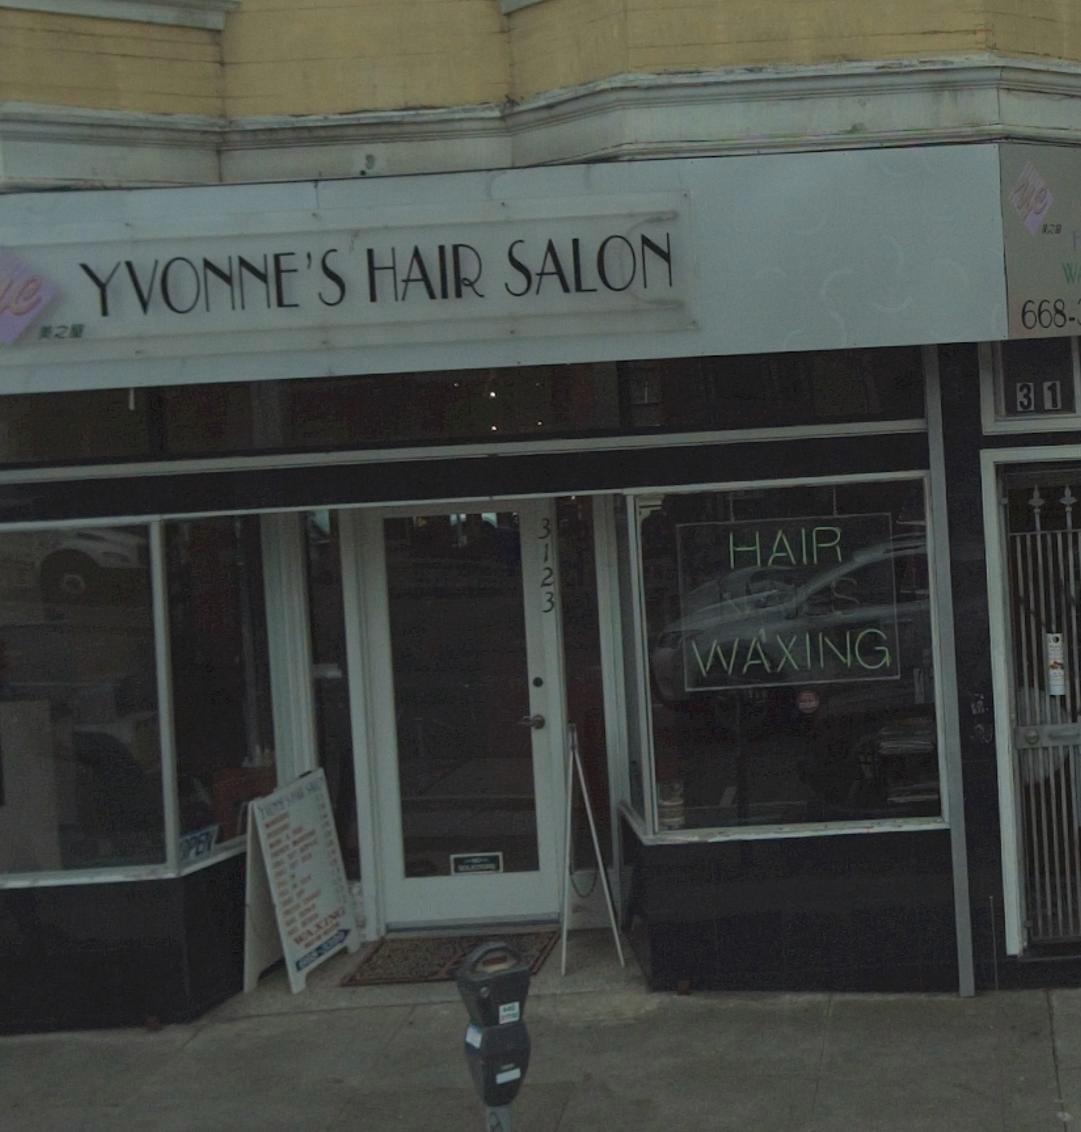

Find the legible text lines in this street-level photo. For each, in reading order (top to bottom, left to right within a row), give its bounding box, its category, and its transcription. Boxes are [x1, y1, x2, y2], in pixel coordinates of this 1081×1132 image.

[1010, 174, 1051, 222] BusinessName: ye
[4, 271, 44, 319] BusinessName: e
[76, 230, 676, 319] BusinessName: YVONNE'S HAIR SALON
[1019, 297, 1069, 333] None: 668
[1016, 380, 1062, 413] StreetNumber: 31
[536, 515, 558, 614] StreetNumber: 3123
[727, 524, 846, 573] None: HAIR
[712, 574, 862, 628] None: N**LS
[687, 626, 892, 680] None: WAXING
[256, 775, 326, 823] BusinessName: YVONNE'S HAIR SALON
[177, 827, 217, 865] None: *PEN
[289, 902, 348, 946] None: WAXING